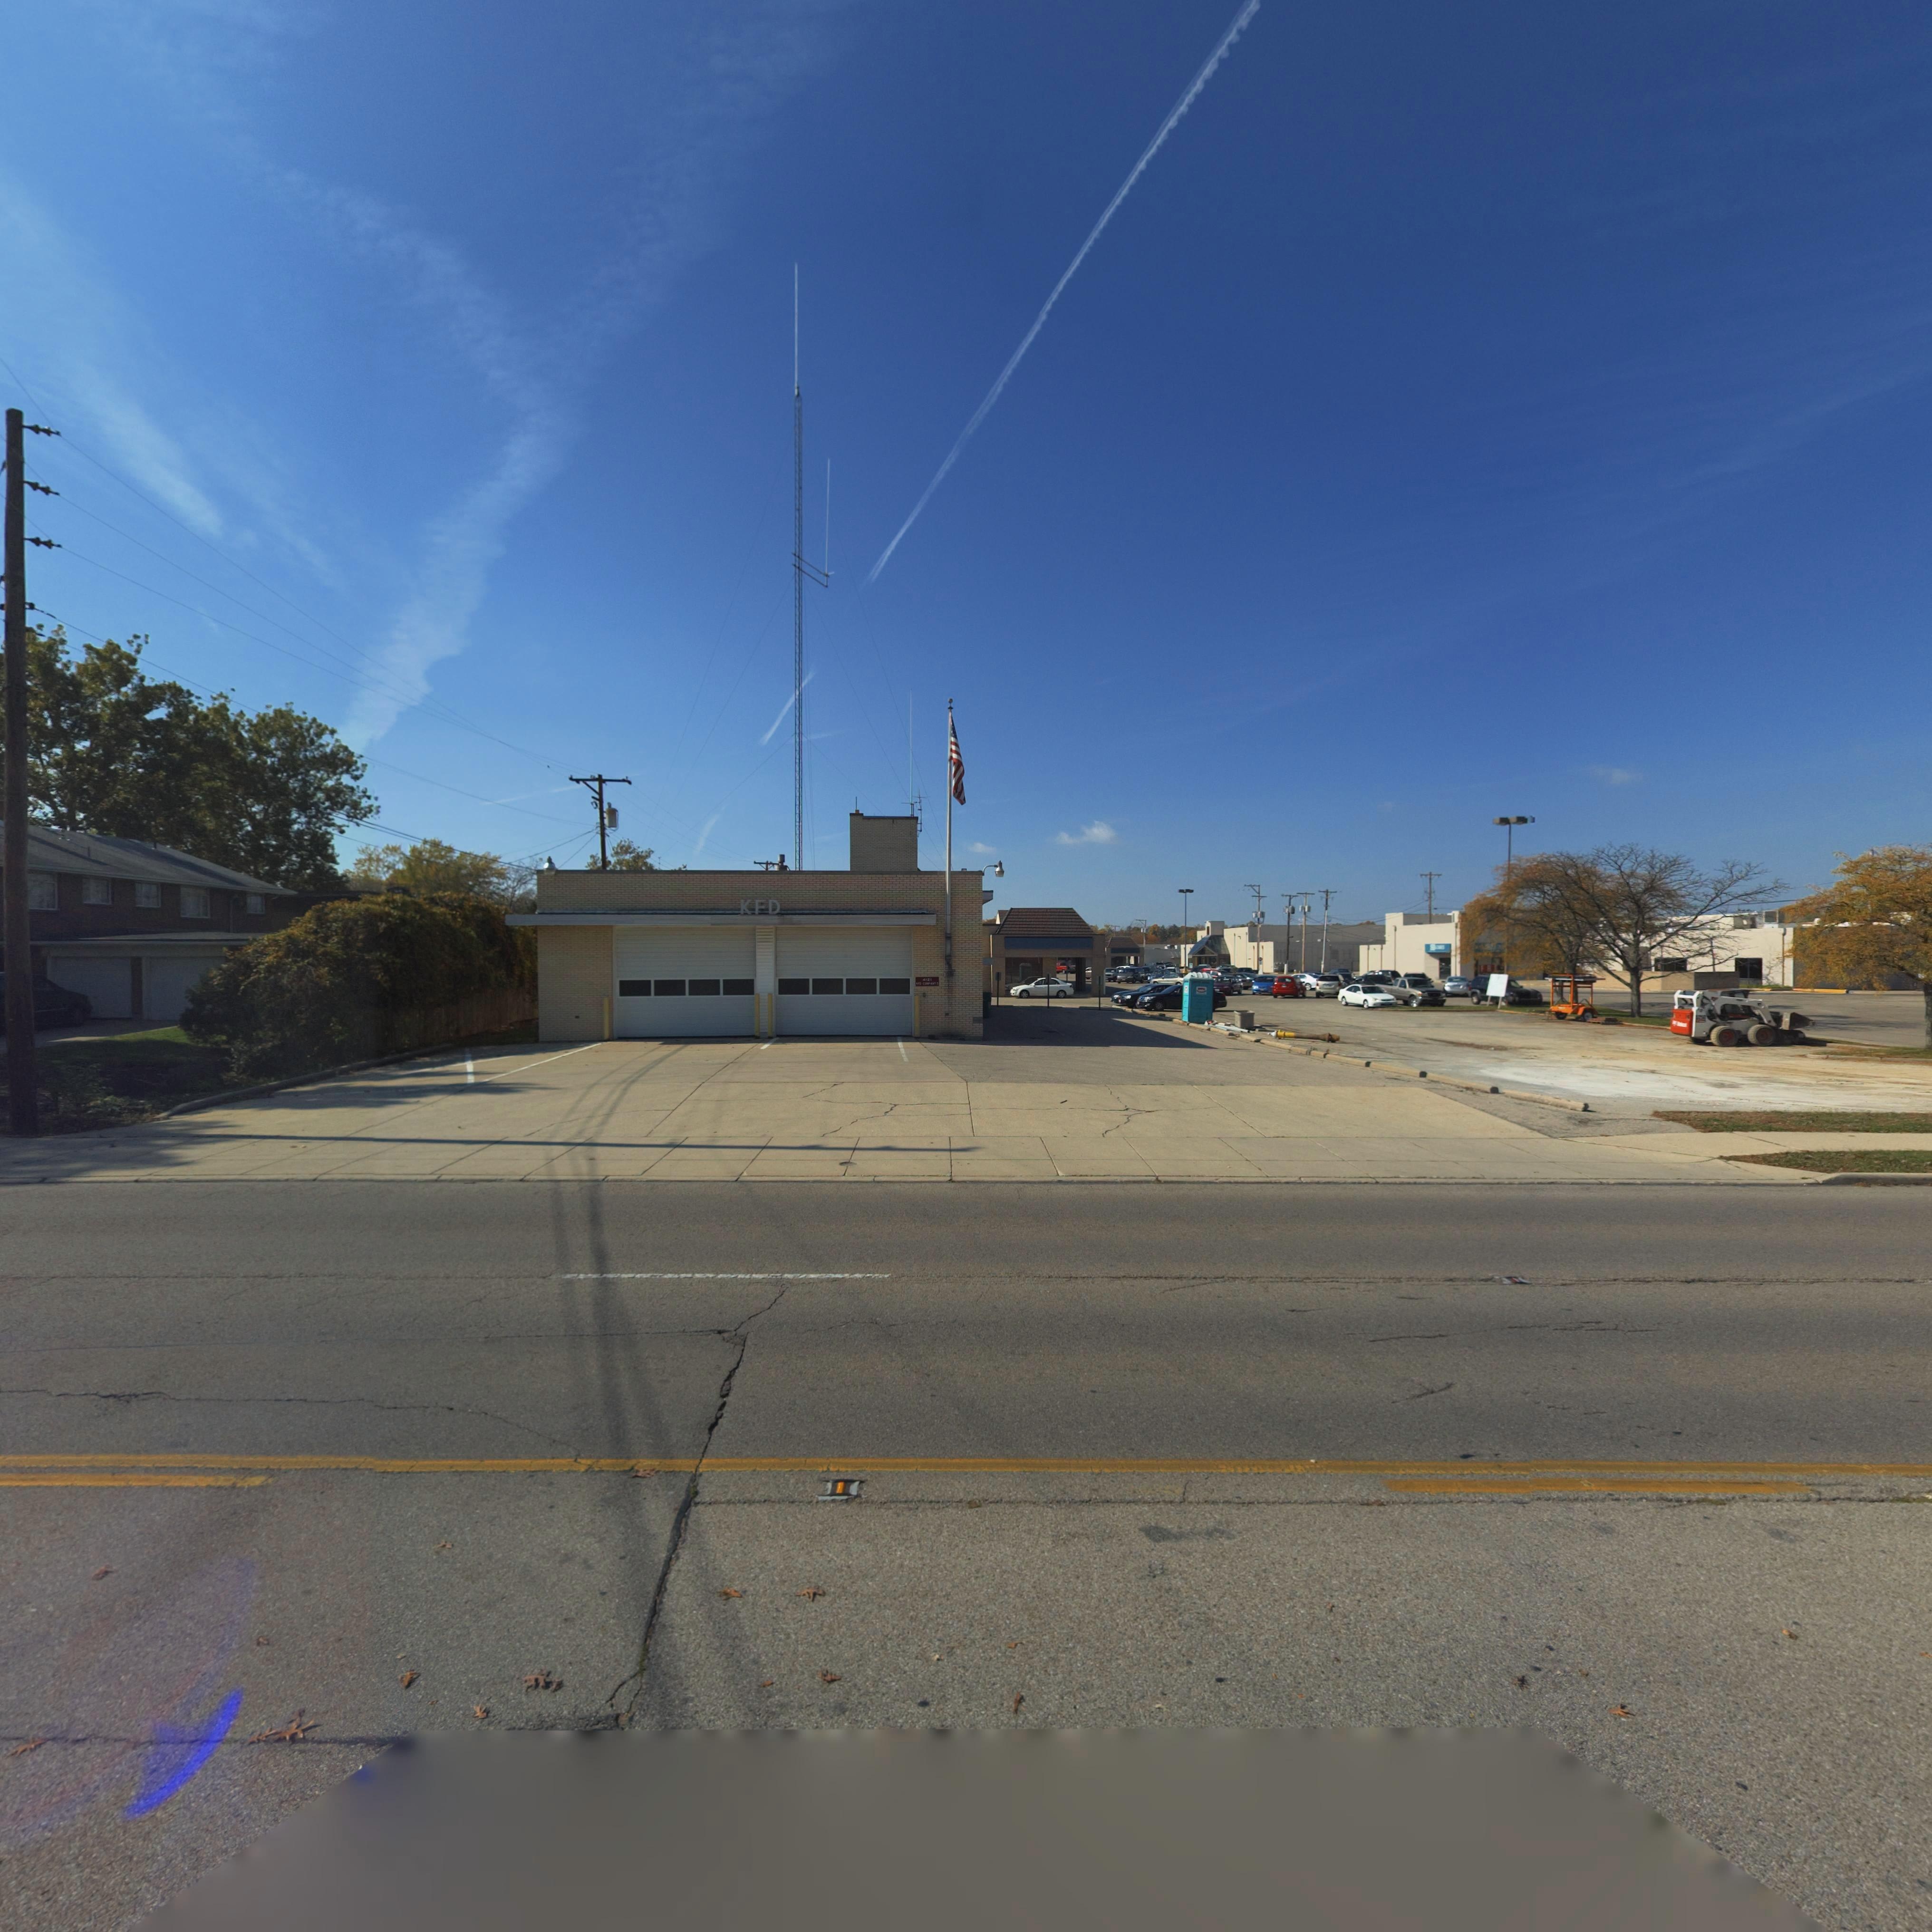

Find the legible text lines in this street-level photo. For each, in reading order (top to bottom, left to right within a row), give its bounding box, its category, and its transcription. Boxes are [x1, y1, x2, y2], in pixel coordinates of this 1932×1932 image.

[739, 899, 781, 916] None: KFD
[1480, 965, 1492, 973] None: FR
[922, 977, 932, 982] StreetNumber: 4121